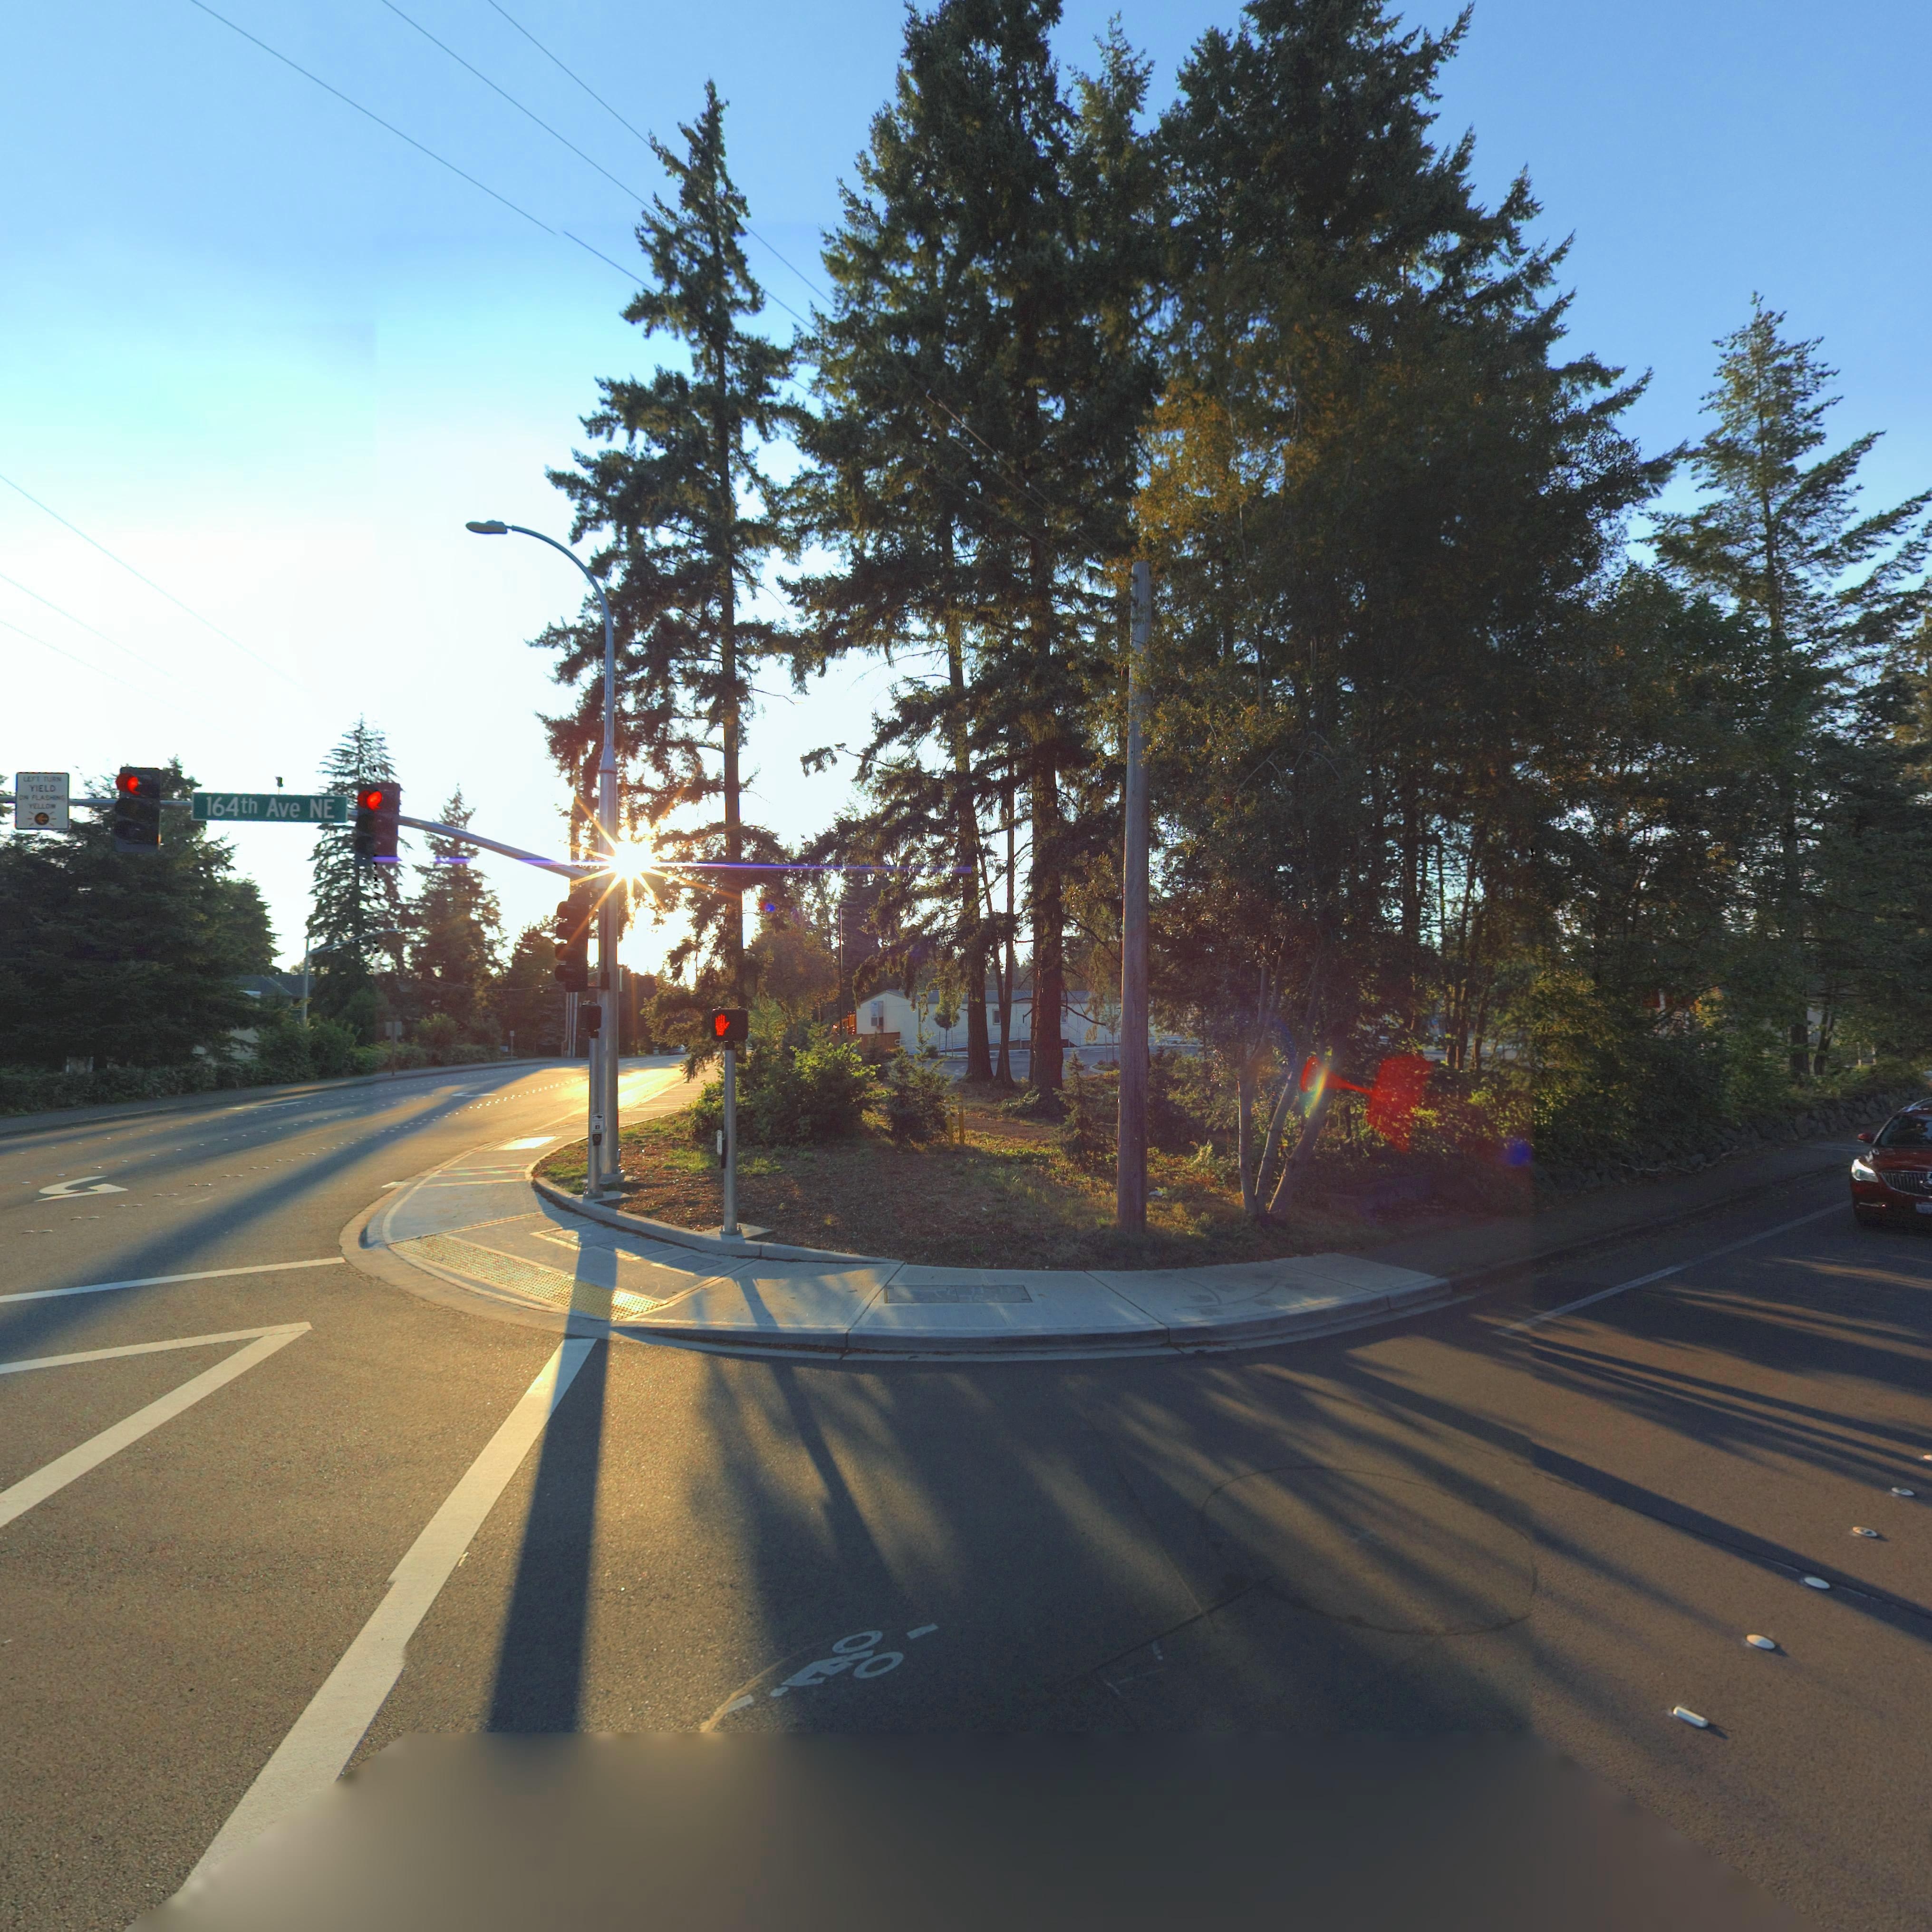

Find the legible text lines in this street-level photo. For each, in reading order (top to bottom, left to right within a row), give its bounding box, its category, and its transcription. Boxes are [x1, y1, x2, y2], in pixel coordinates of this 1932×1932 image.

[206, 797, 335, 820] StreetName: 164th Ave NE